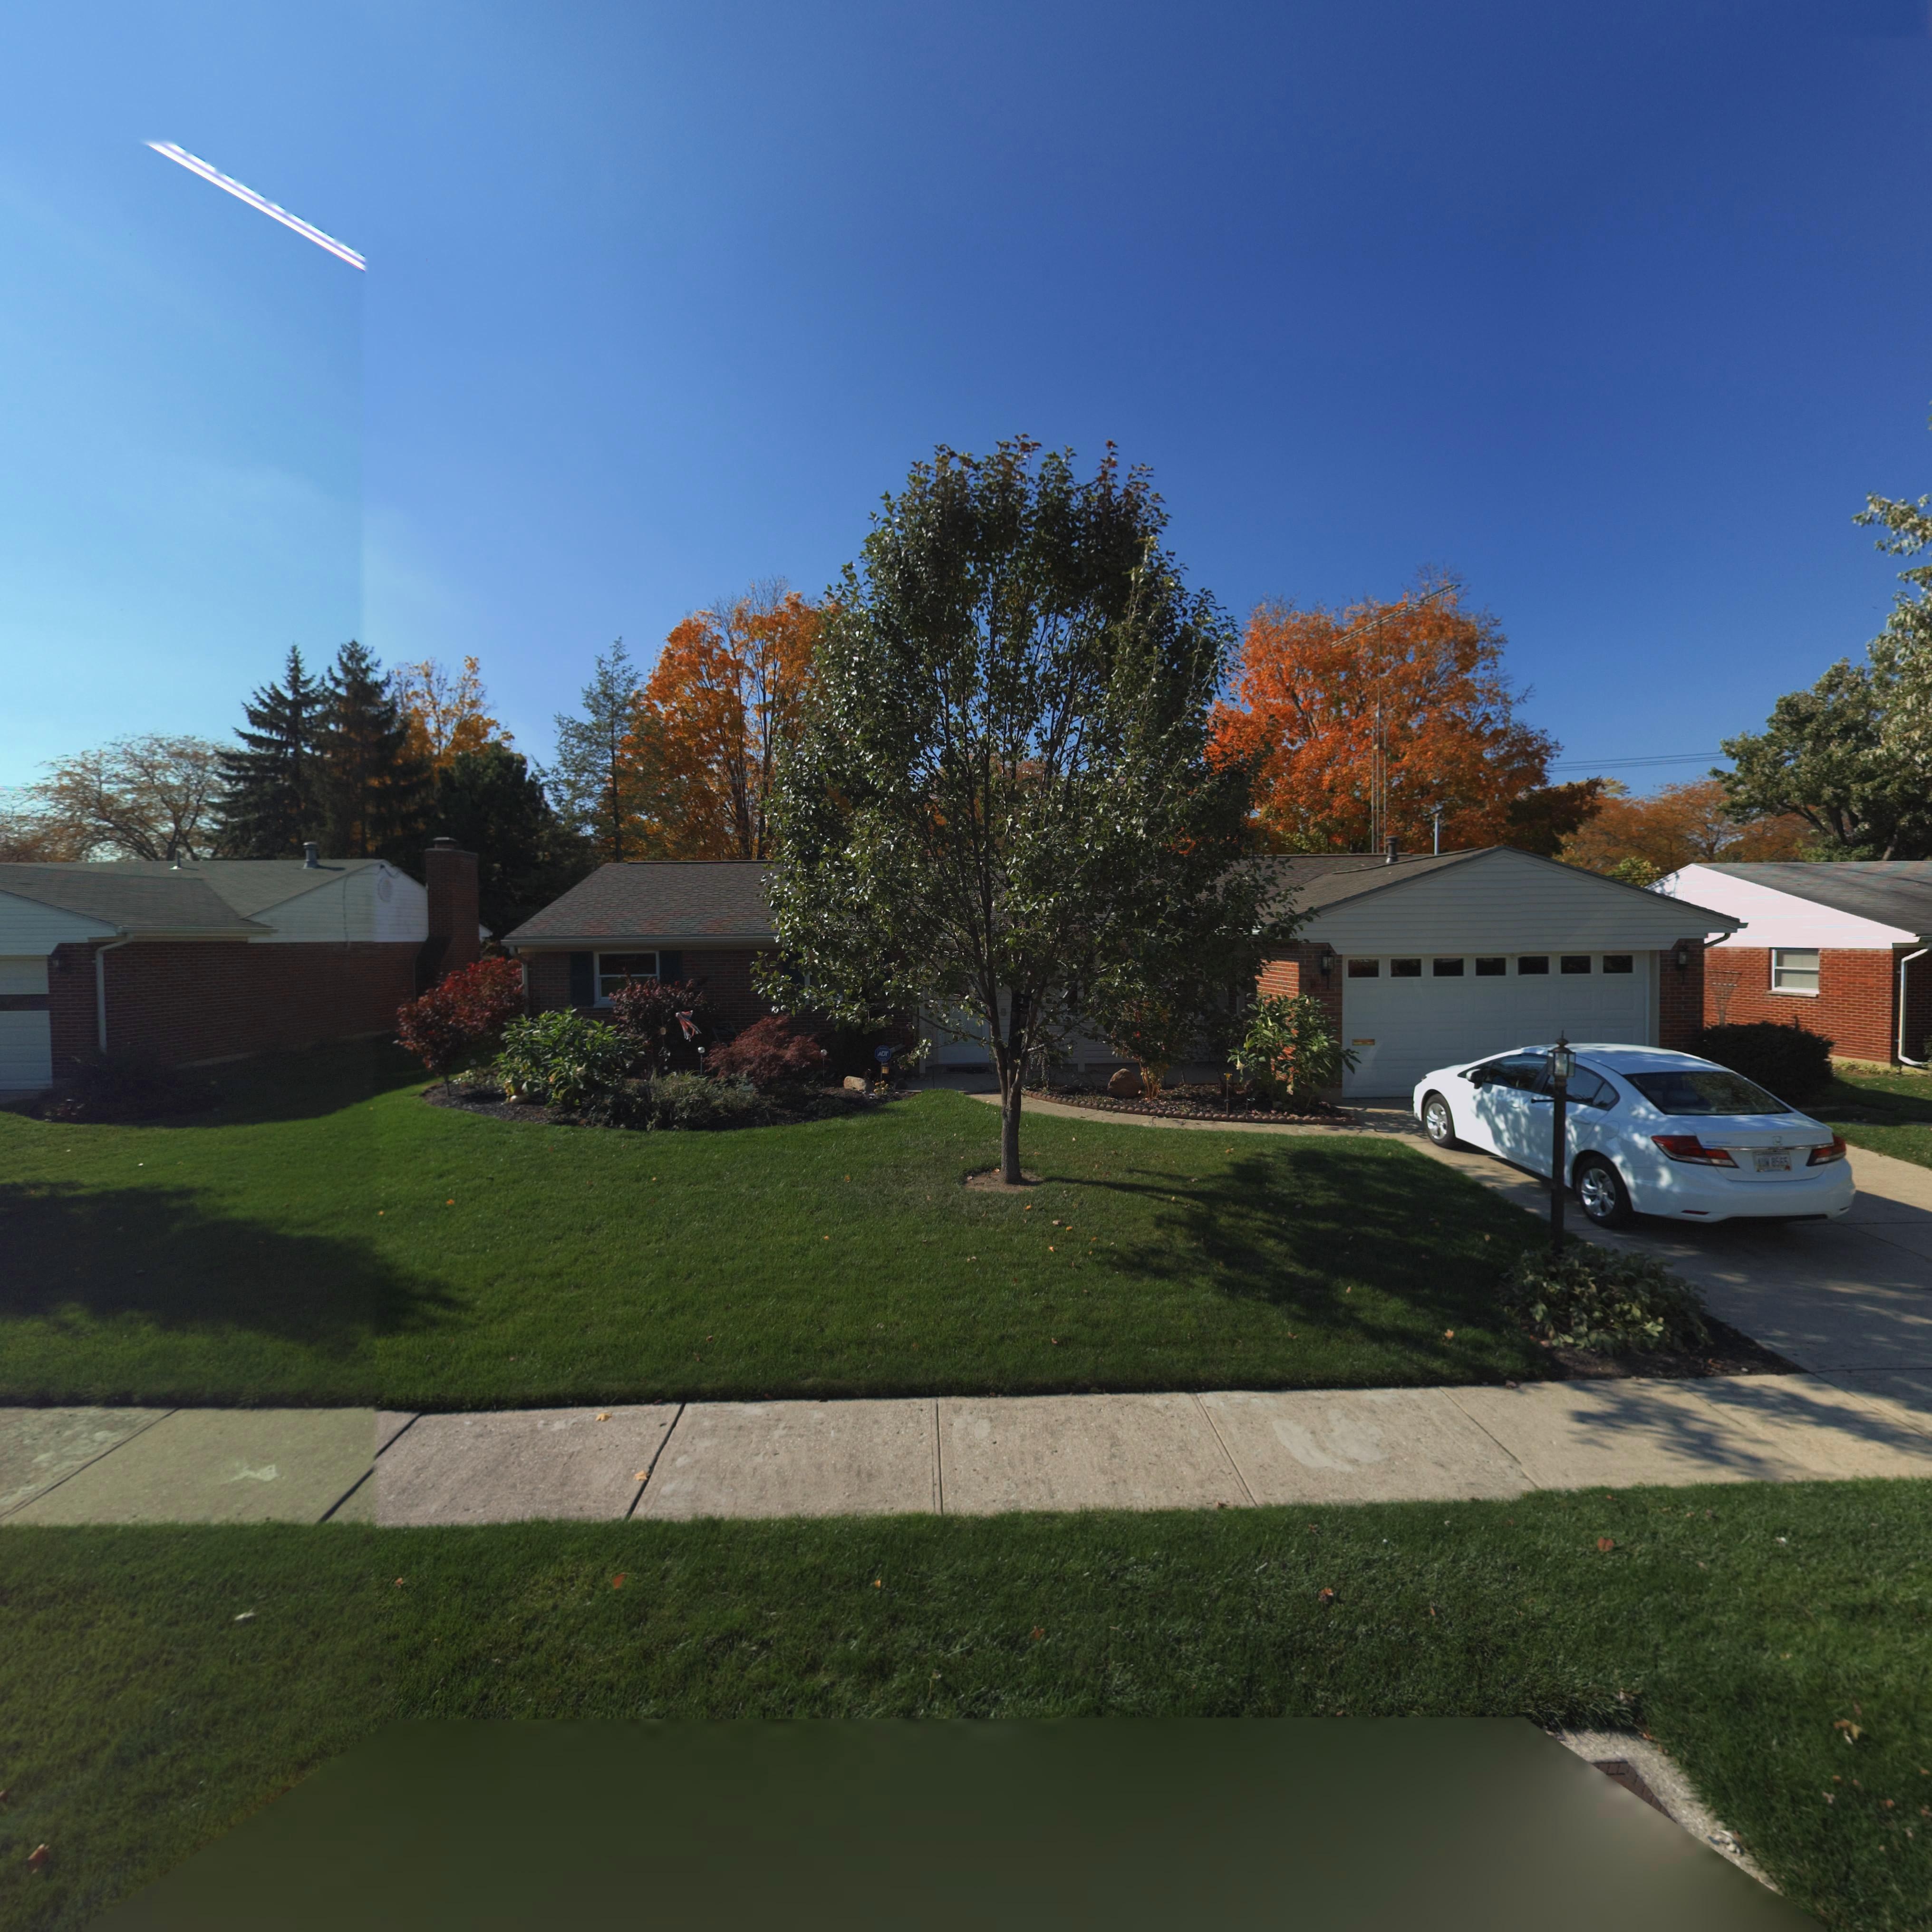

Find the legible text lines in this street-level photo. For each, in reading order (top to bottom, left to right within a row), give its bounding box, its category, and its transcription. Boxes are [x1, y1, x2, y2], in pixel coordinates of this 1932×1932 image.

[876, 1050, 890, 1058] None: ADT